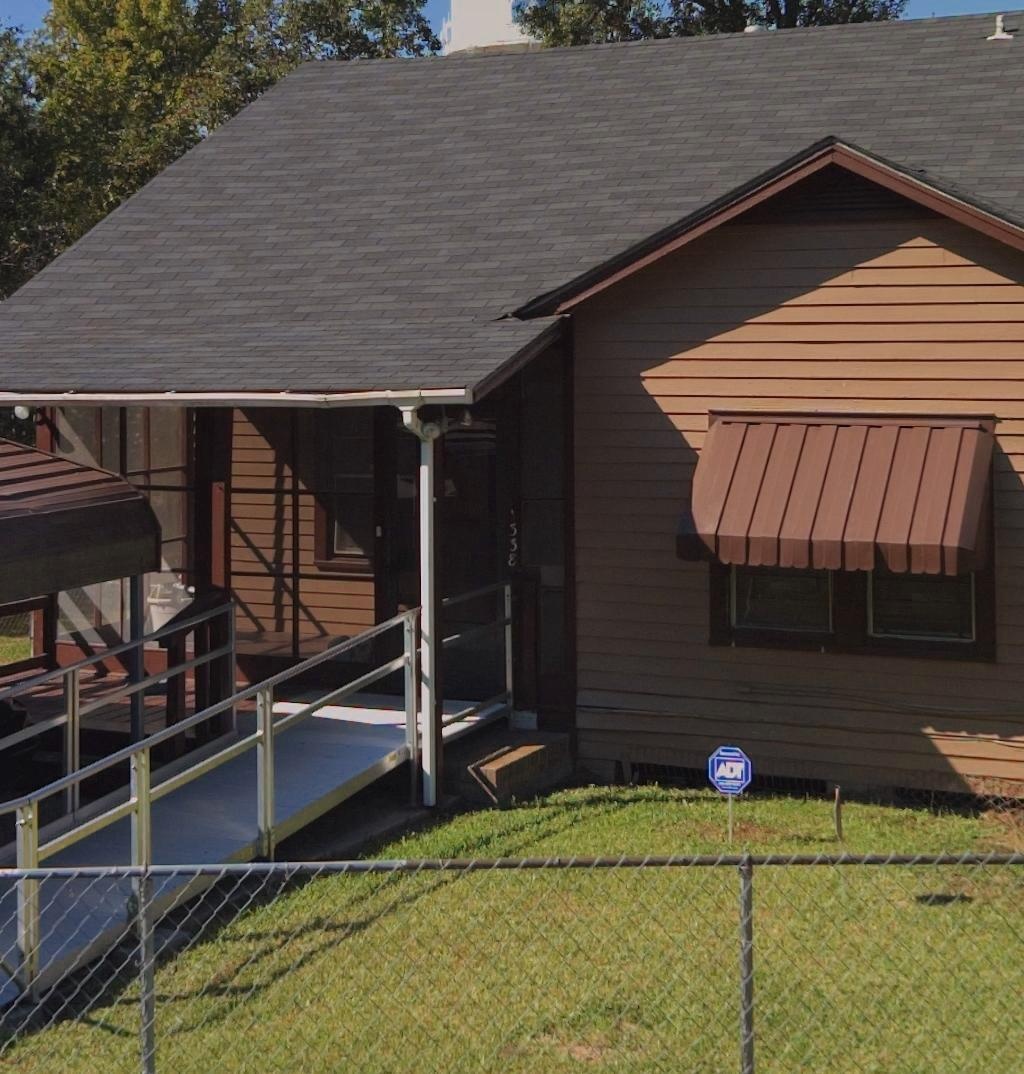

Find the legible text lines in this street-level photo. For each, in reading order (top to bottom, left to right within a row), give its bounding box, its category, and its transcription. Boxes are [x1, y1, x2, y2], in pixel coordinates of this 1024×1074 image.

[506, 522, 519, 569] StreetNumber: 338
[713, 760, 746, 784] None: ADT